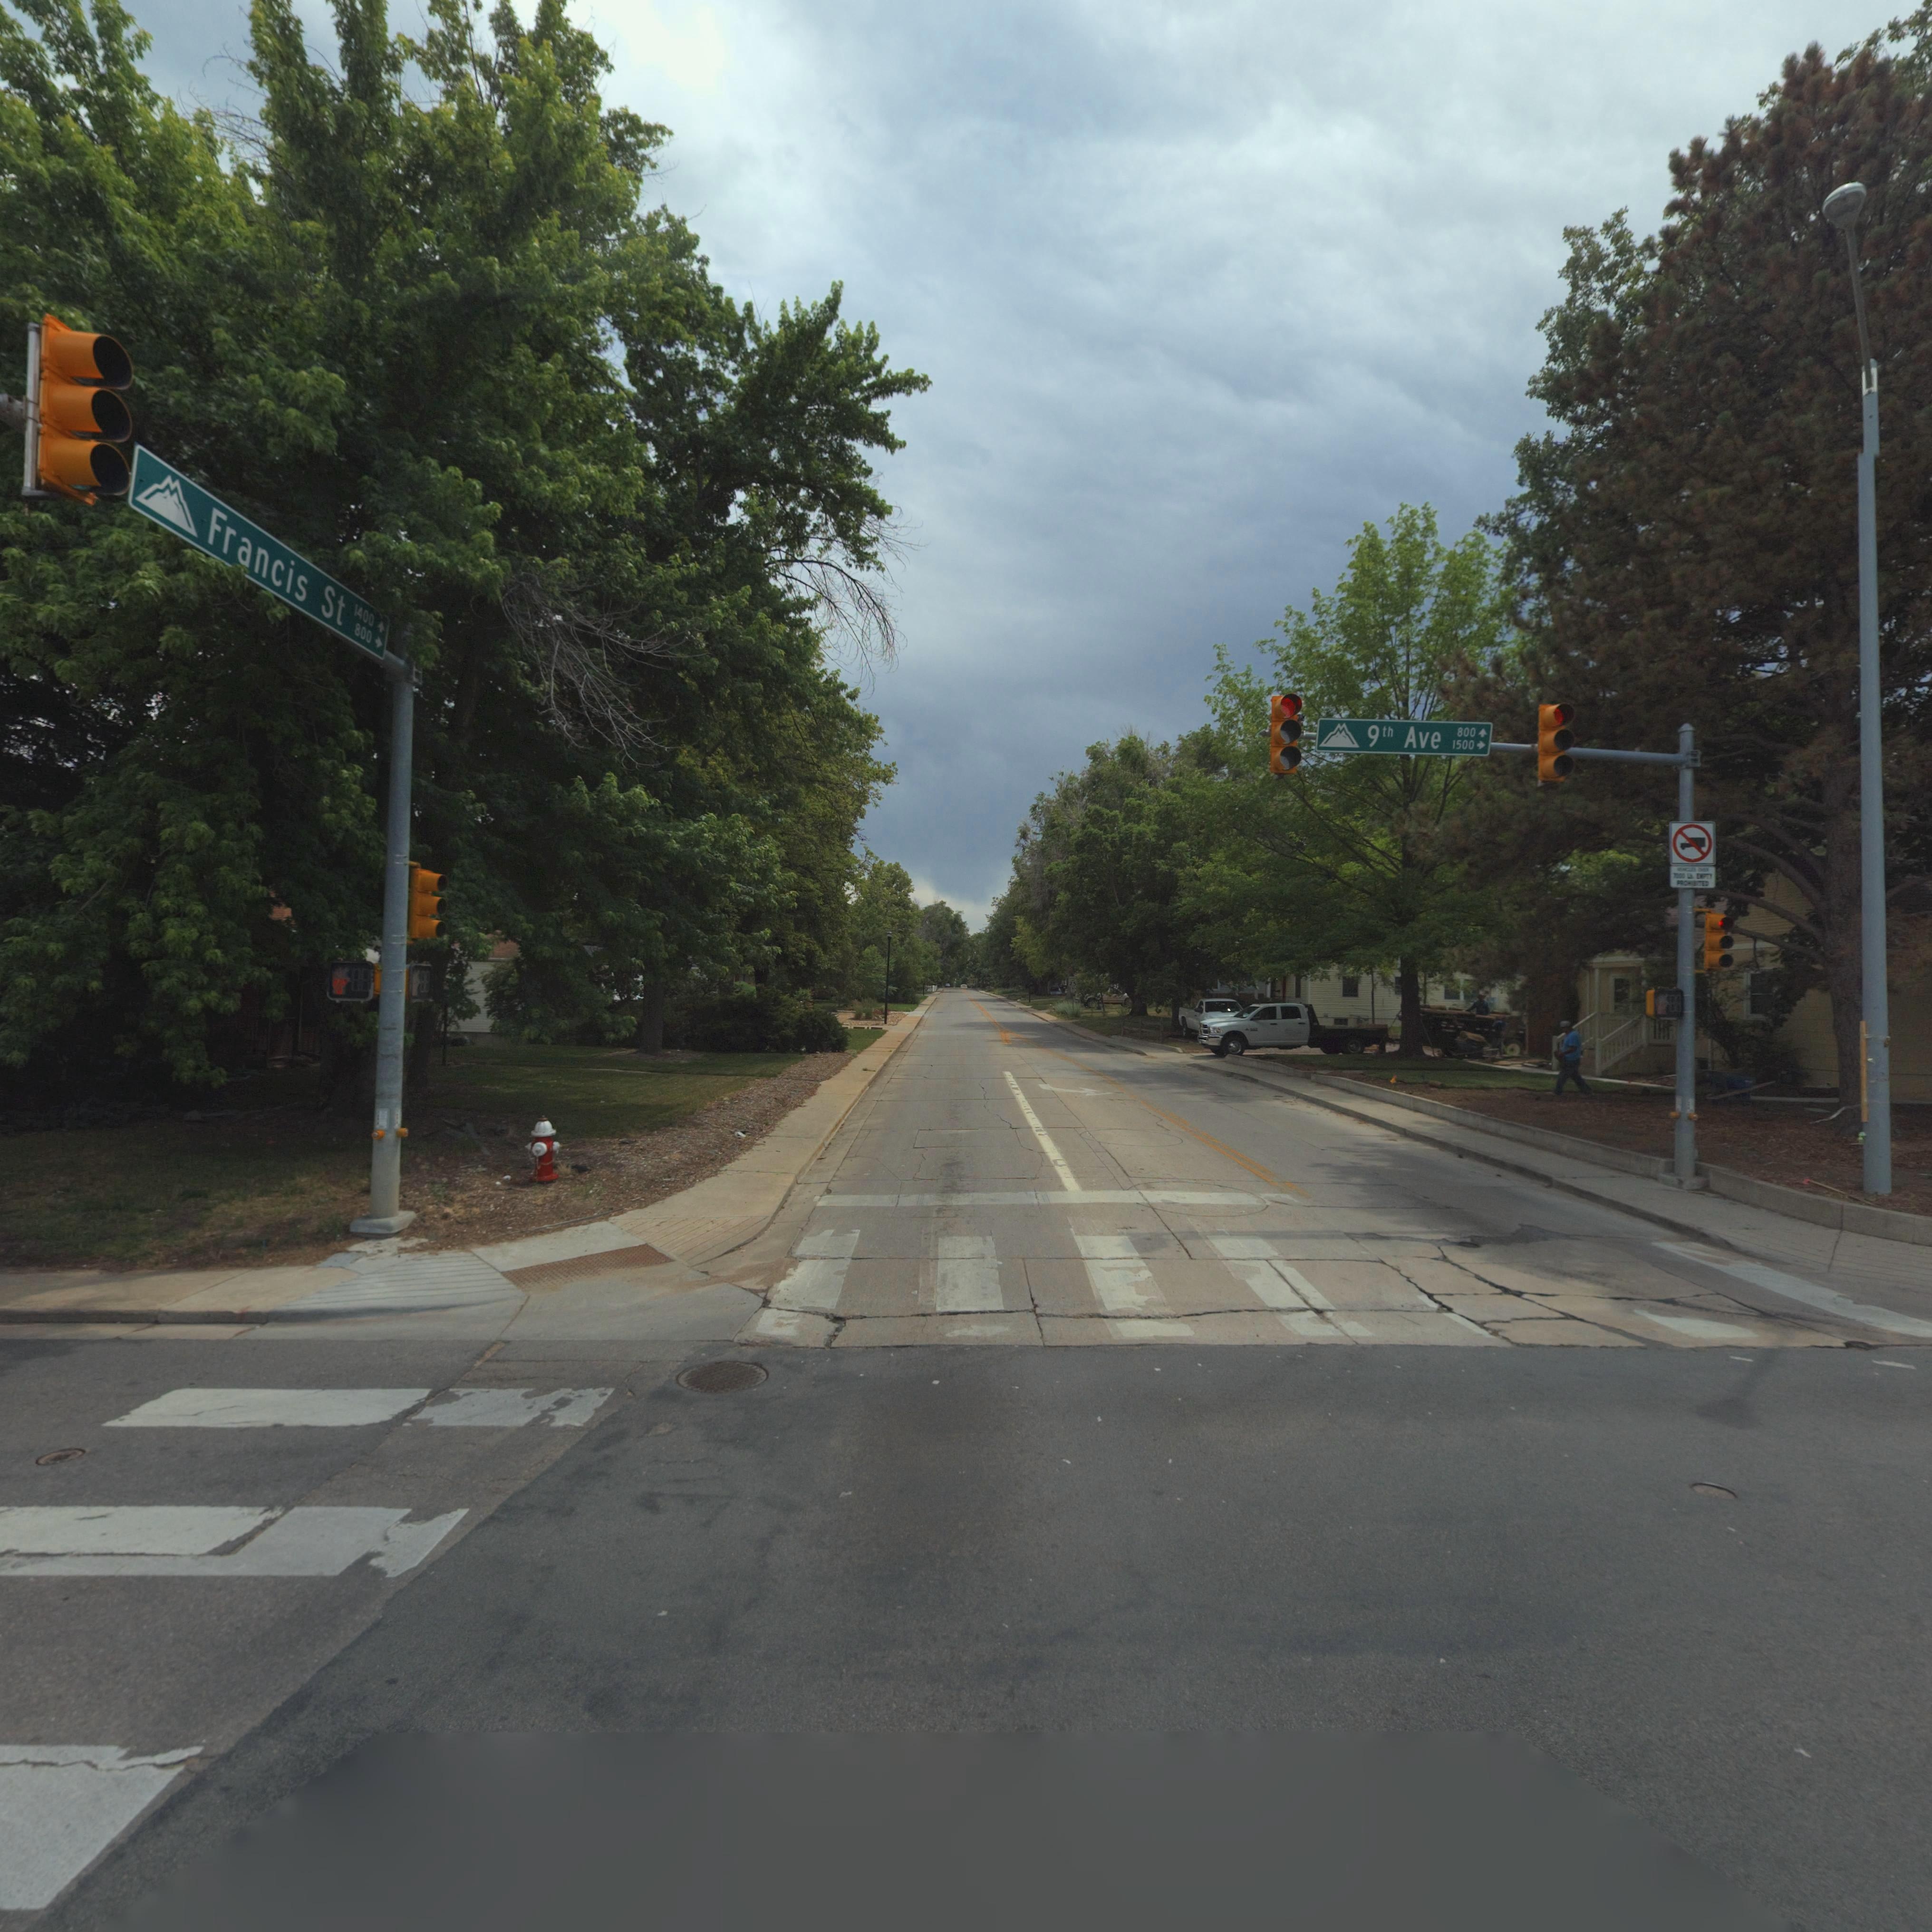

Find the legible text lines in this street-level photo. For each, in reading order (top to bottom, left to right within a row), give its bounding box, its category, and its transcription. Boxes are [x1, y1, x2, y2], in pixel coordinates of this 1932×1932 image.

[206, 506, 345, 628] StreetName: Francis St
[353, 603, 375, 627] StreetNumberRange: 1400
[354, 622, 383, 648] StreetNumberRange: 800->
[1367, 724, 1441, 749] StreetName: 9th Ave
[1456, 726, 1476, 737] StreetNumberRange: 800
[1452, 739, 1486, 750] StreetNumberRange: 1500->